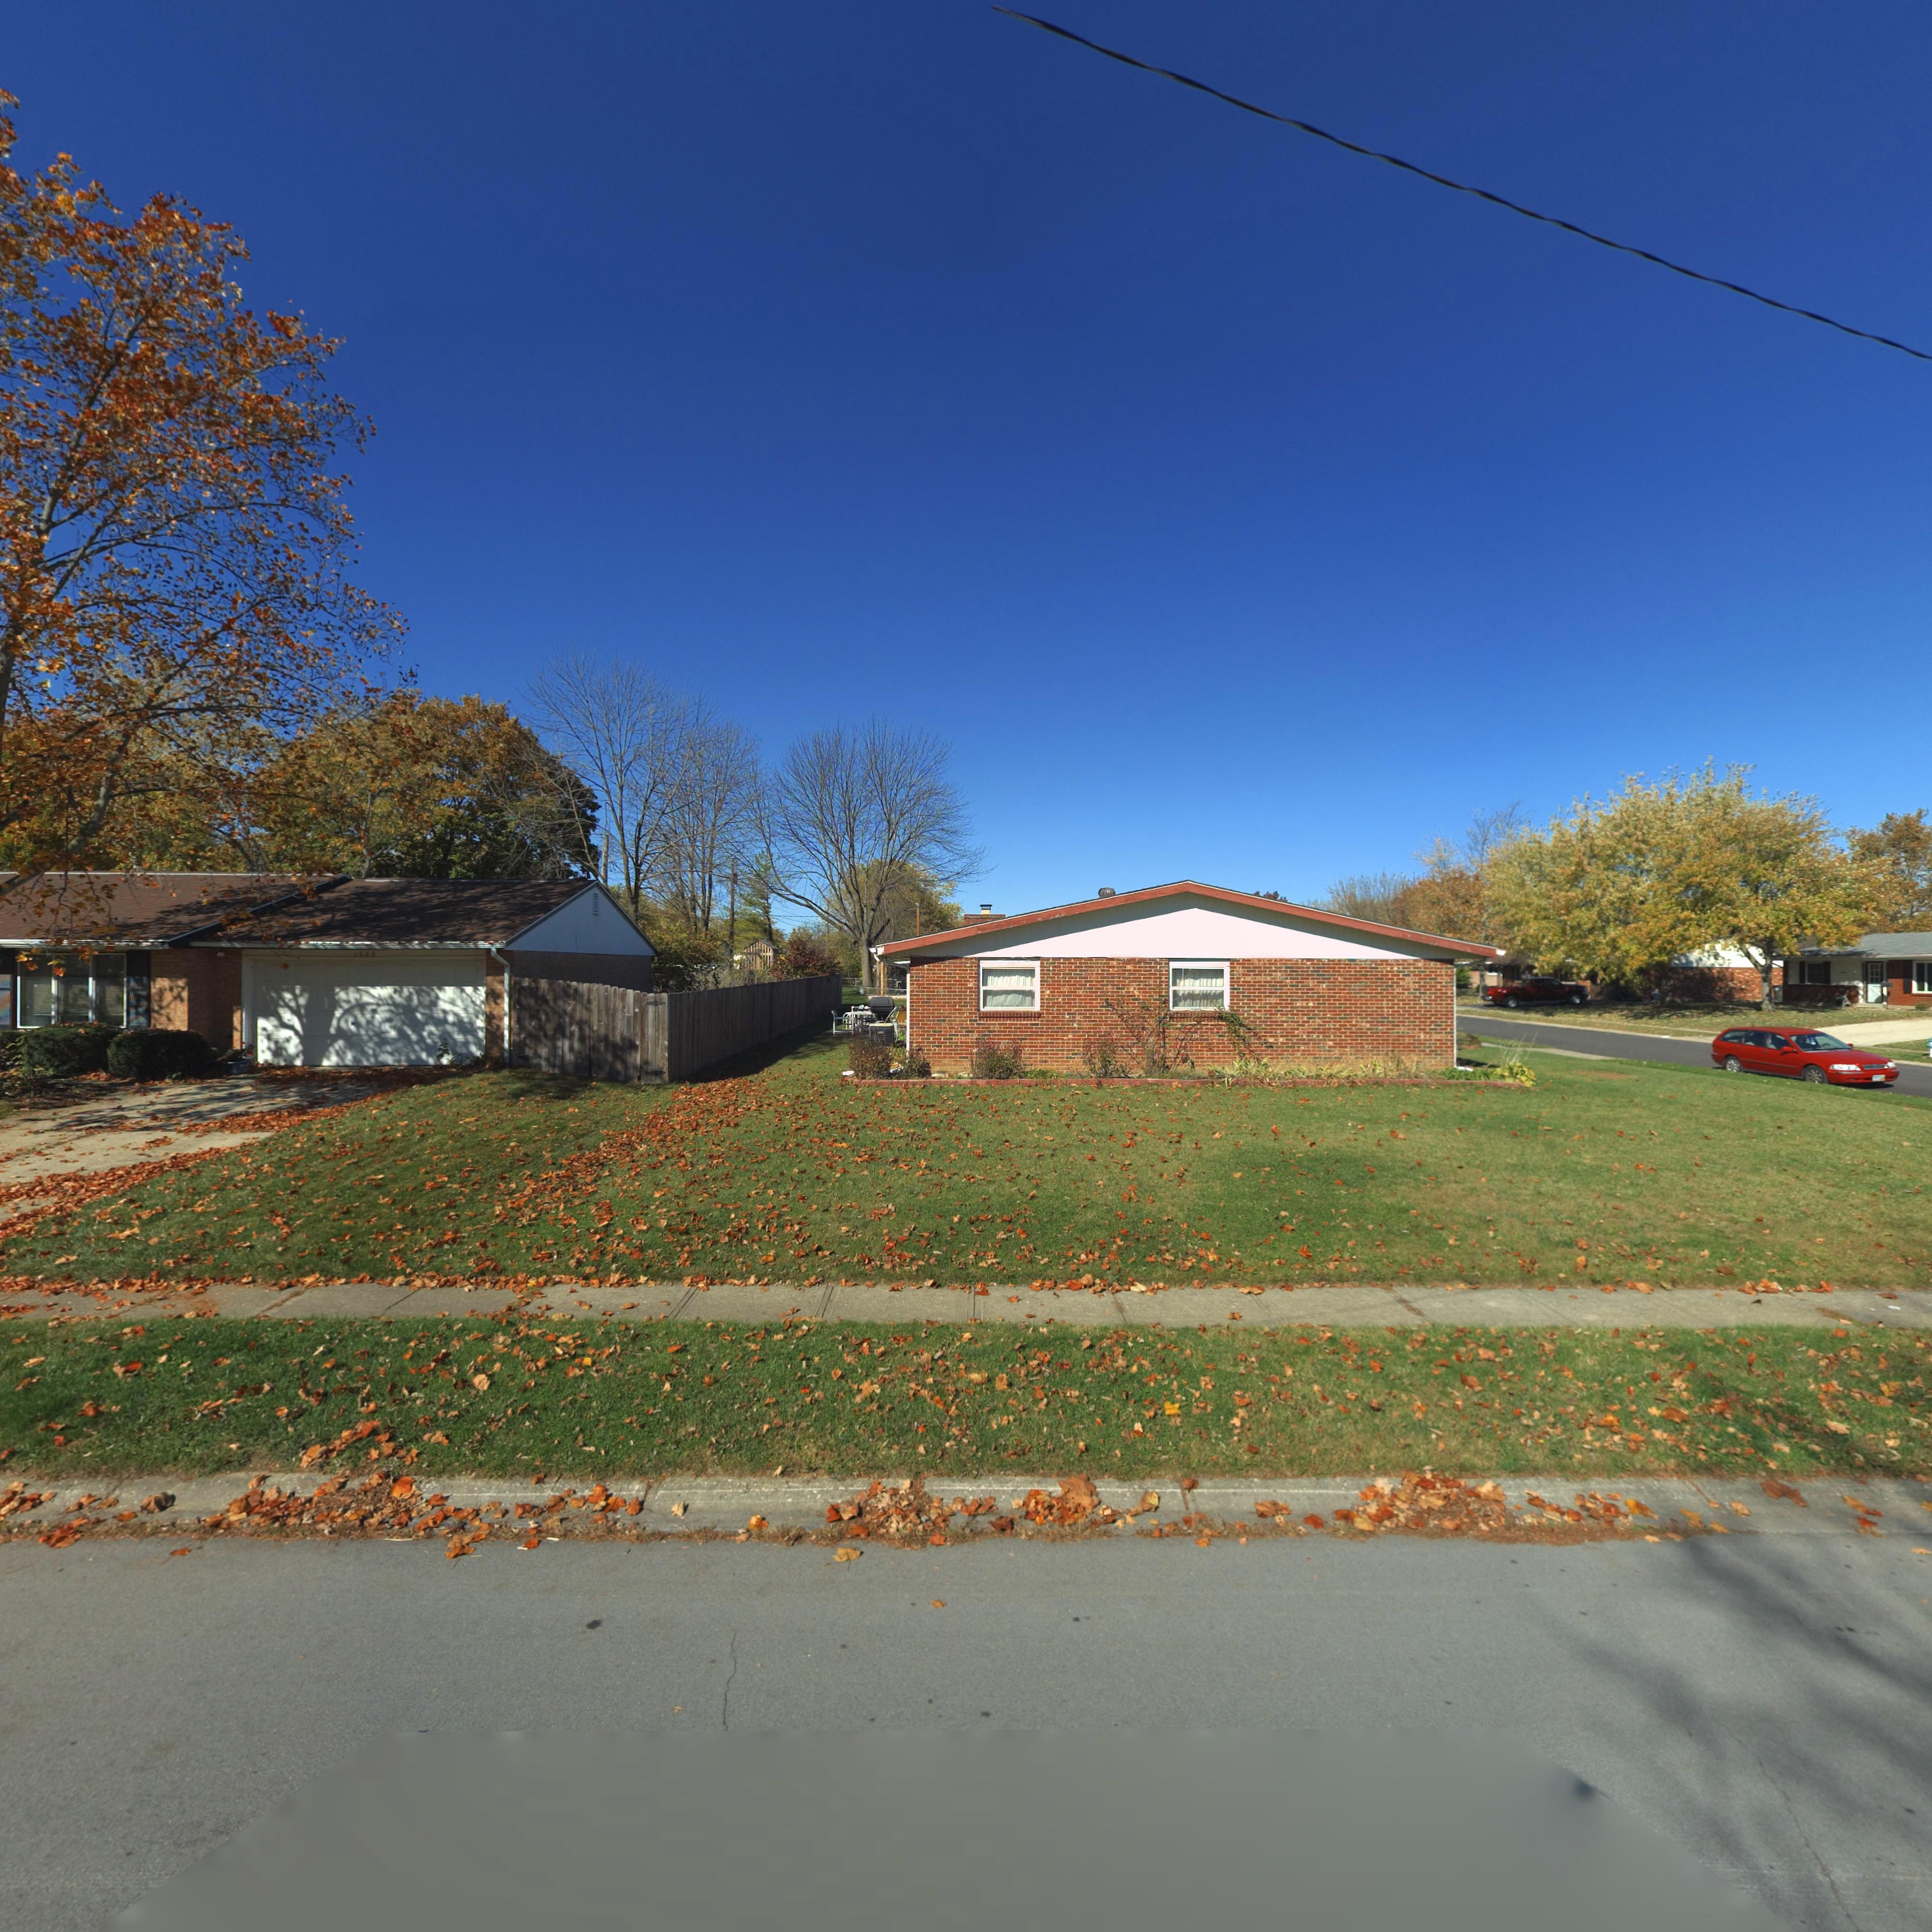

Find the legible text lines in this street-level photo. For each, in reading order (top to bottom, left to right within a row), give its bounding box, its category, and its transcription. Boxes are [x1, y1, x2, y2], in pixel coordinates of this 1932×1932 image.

[353, 950, 376, 957] StreetNumber: 1003